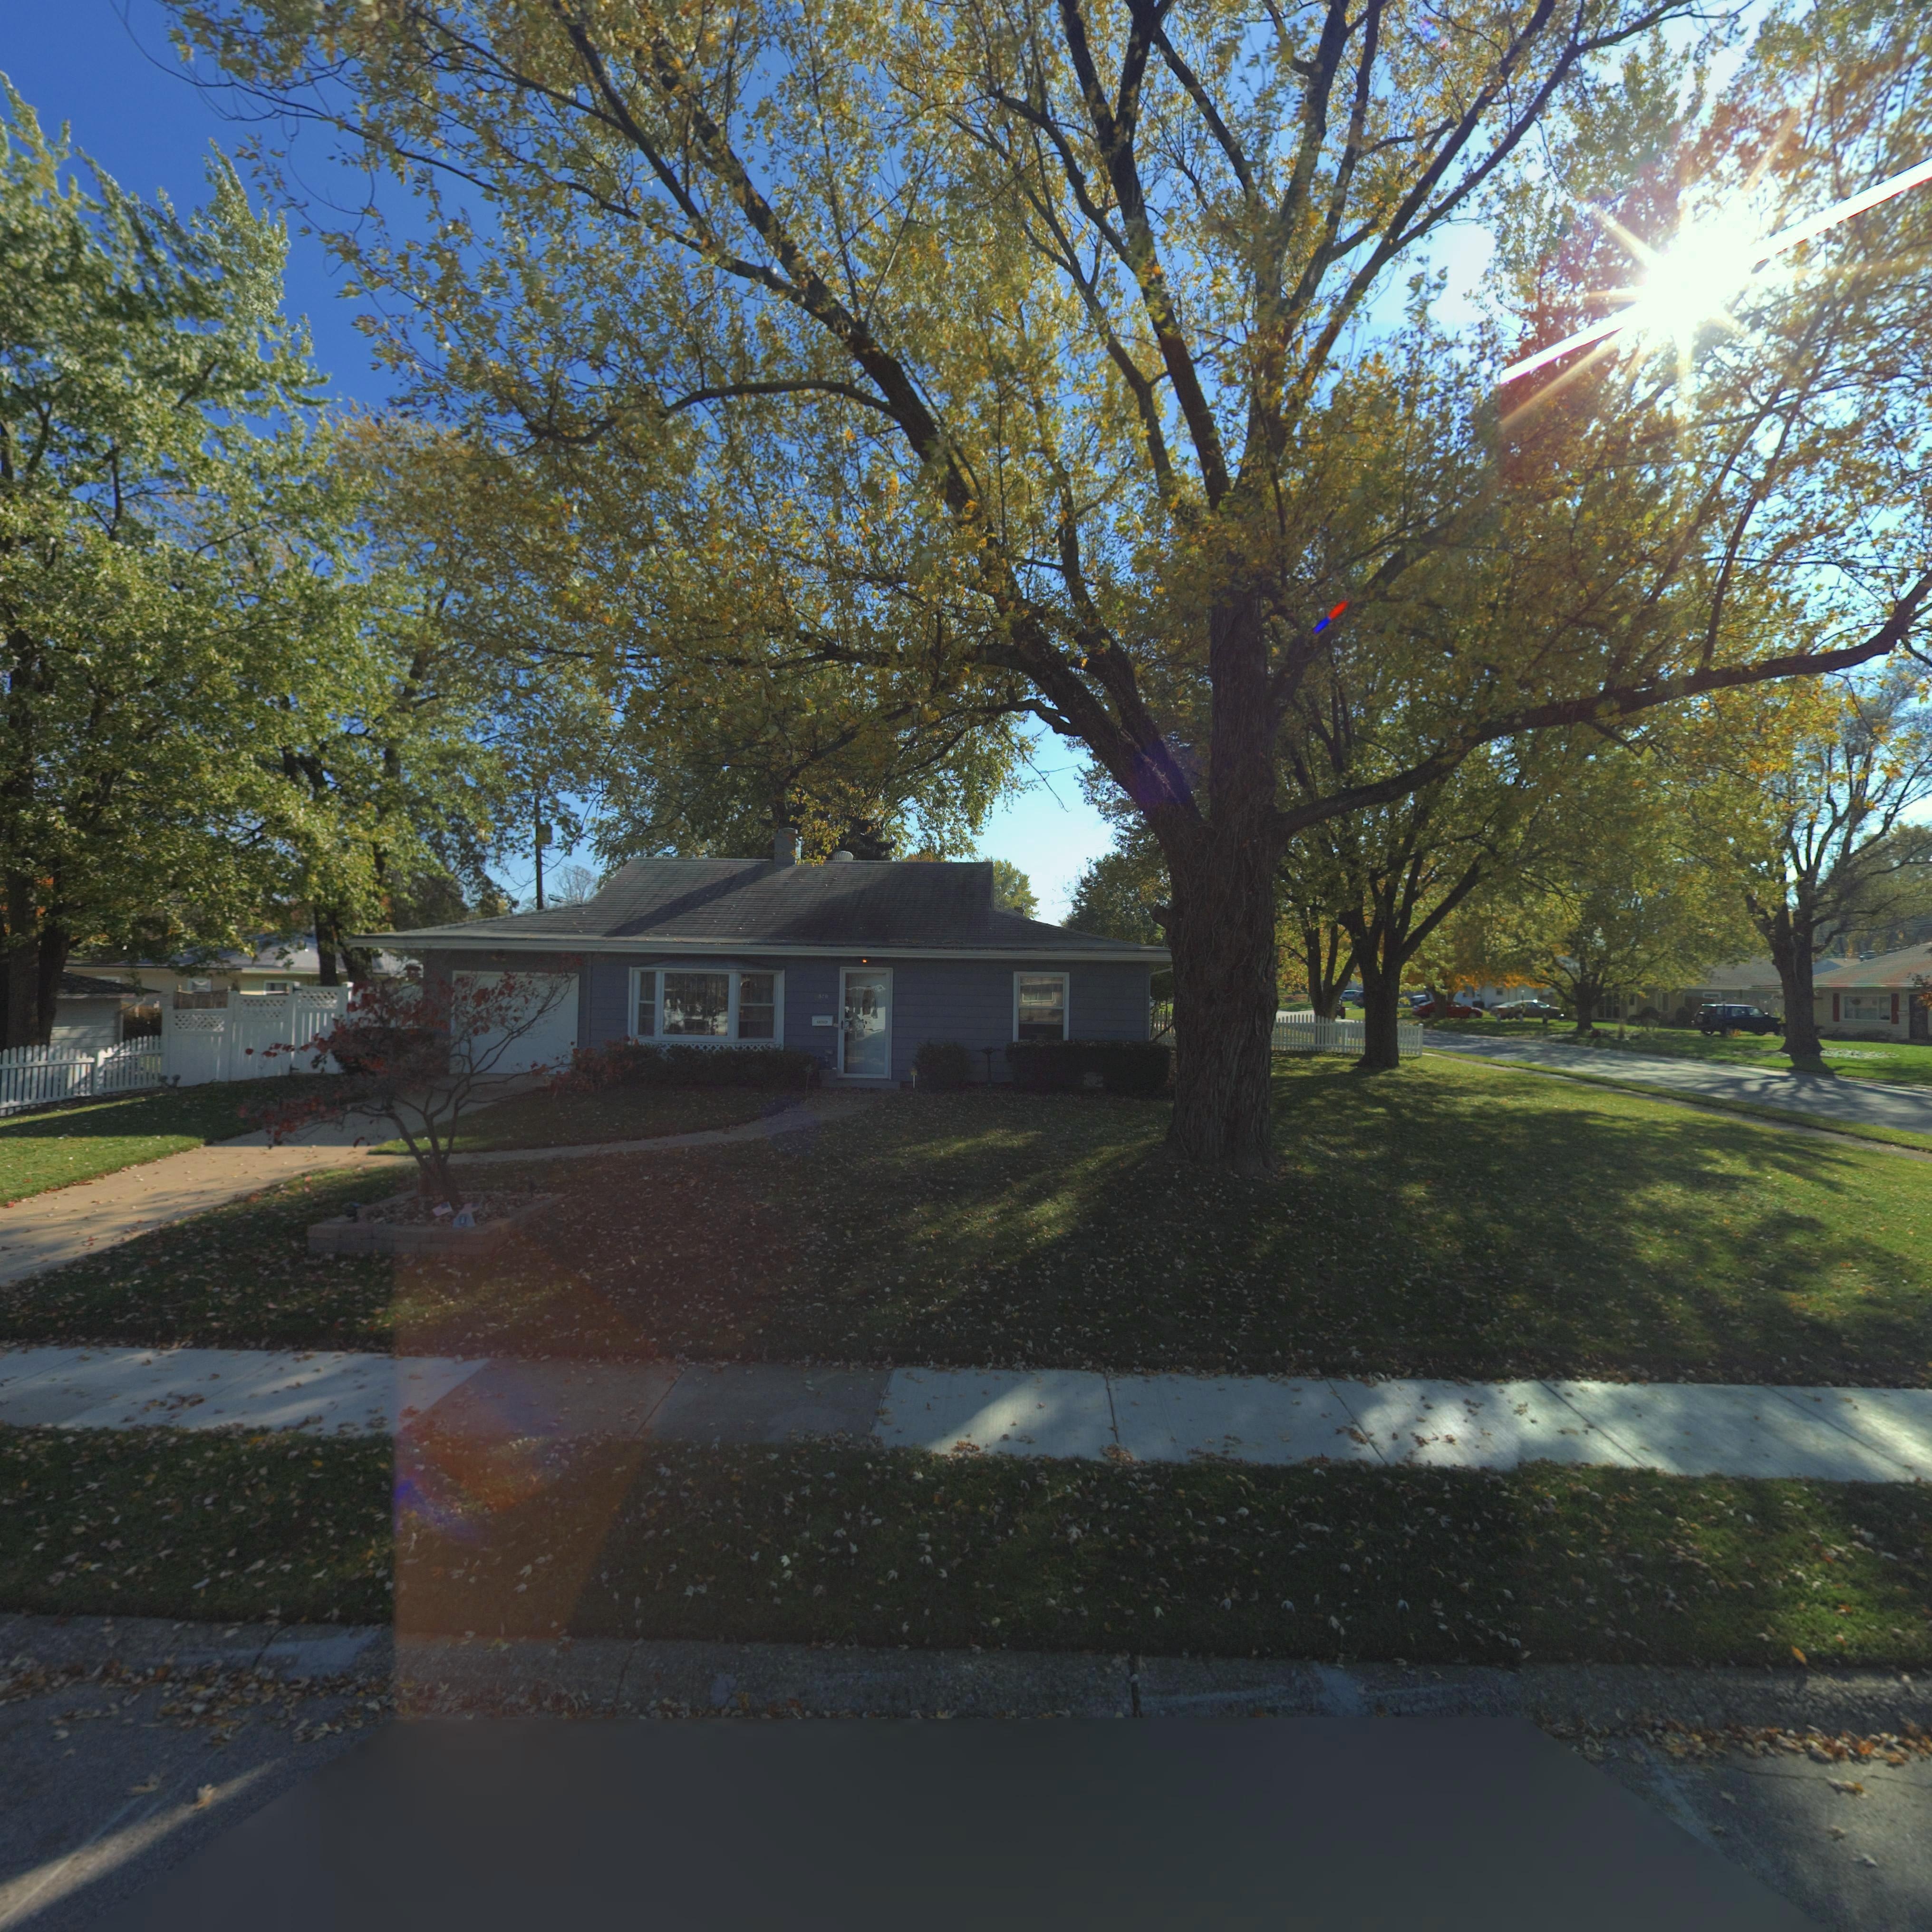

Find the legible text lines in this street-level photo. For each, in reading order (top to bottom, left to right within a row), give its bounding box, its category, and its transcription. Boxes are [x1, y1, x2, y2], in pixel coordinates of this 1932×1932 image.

[818, 994, 829, 999] StreetNumber: 620